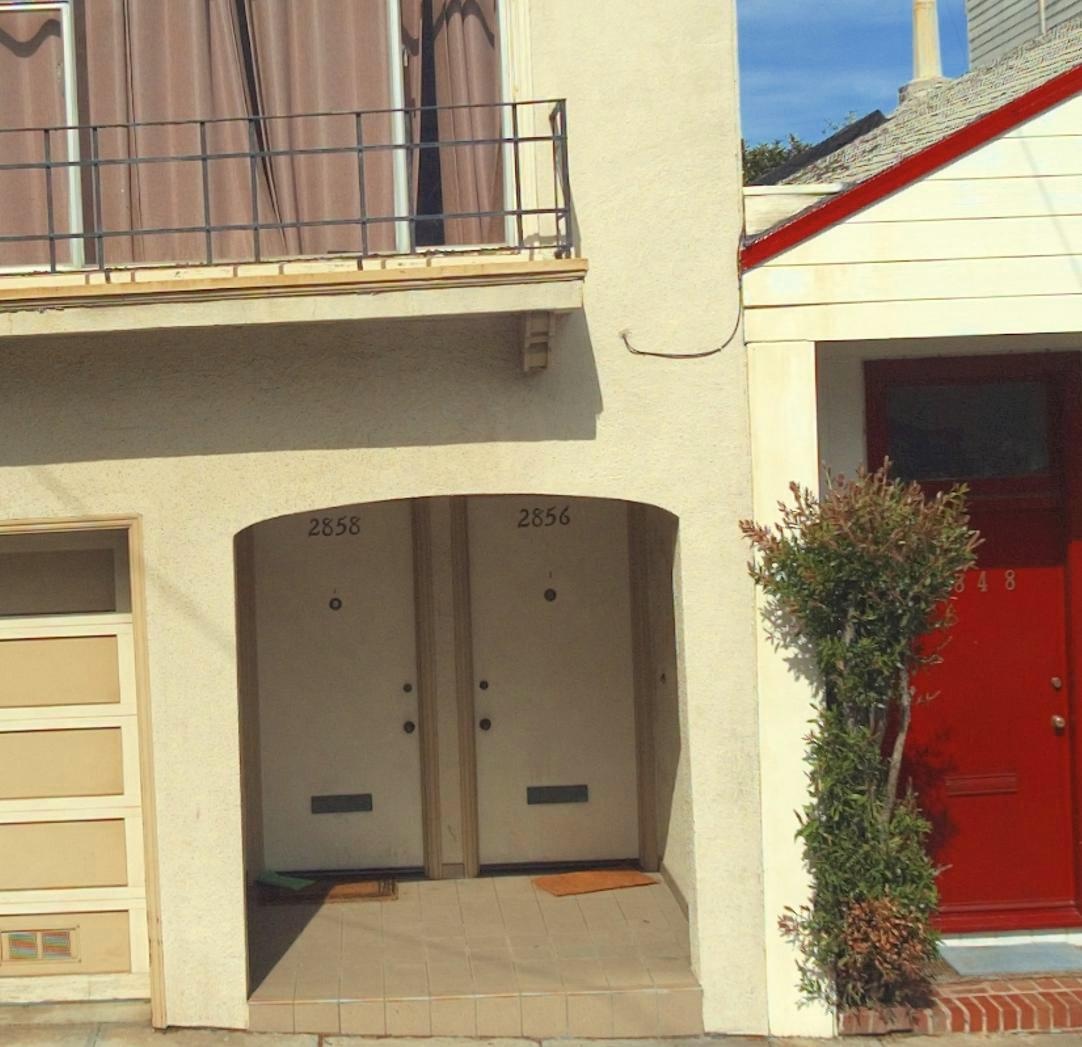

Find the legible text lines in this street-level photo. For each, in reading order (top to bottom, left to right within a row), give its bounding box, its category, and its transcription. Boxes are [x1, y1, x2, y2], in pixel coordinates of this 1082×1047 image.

[304, 513, 363, 540] StreetNumber: 2858
[515, 503, 573, 530] StreetNumber: 2856
[951, 566, 1019, 597] StreetNumber: 848